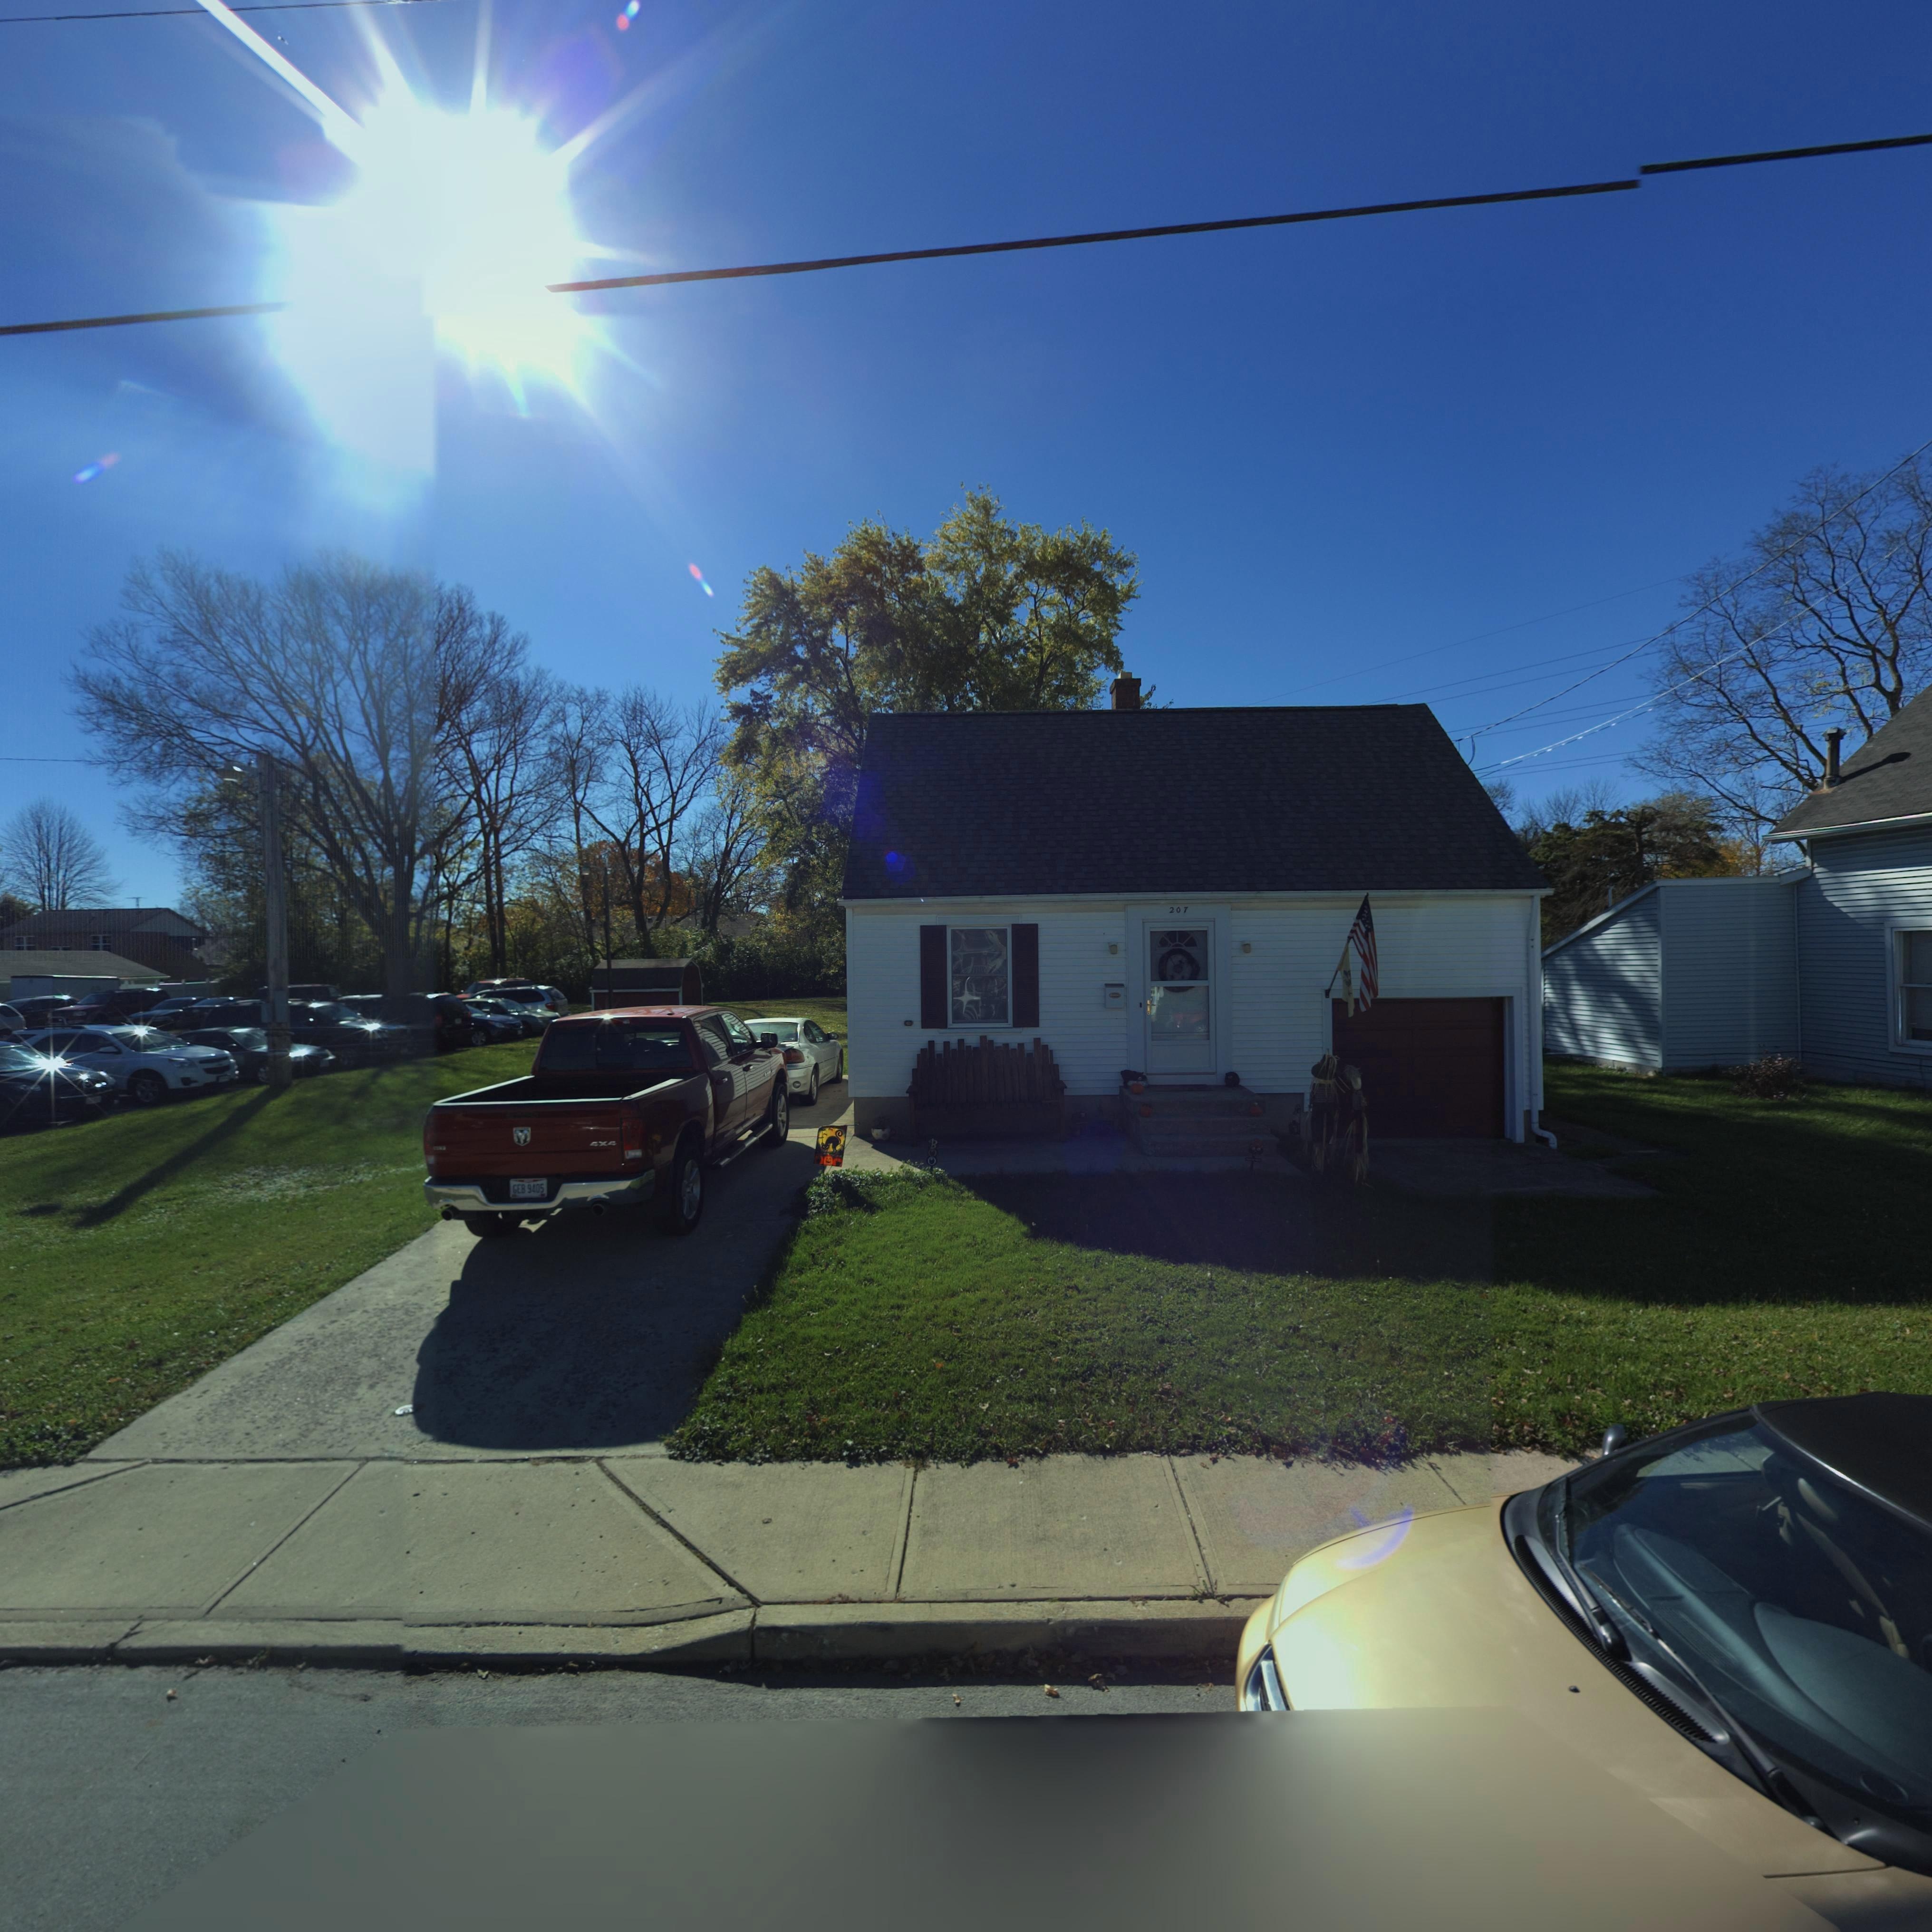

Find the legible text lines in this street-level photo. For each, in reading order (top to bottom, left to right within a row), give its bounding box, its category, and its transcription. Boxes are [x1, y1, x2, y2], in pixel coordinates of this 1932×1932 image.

[1169, 906, 1188, 913] StreetNumber: 207
[588, 1140, 617, 1147] None: 4x4
[512, 1183, 545, 1194] None: GEB*9405